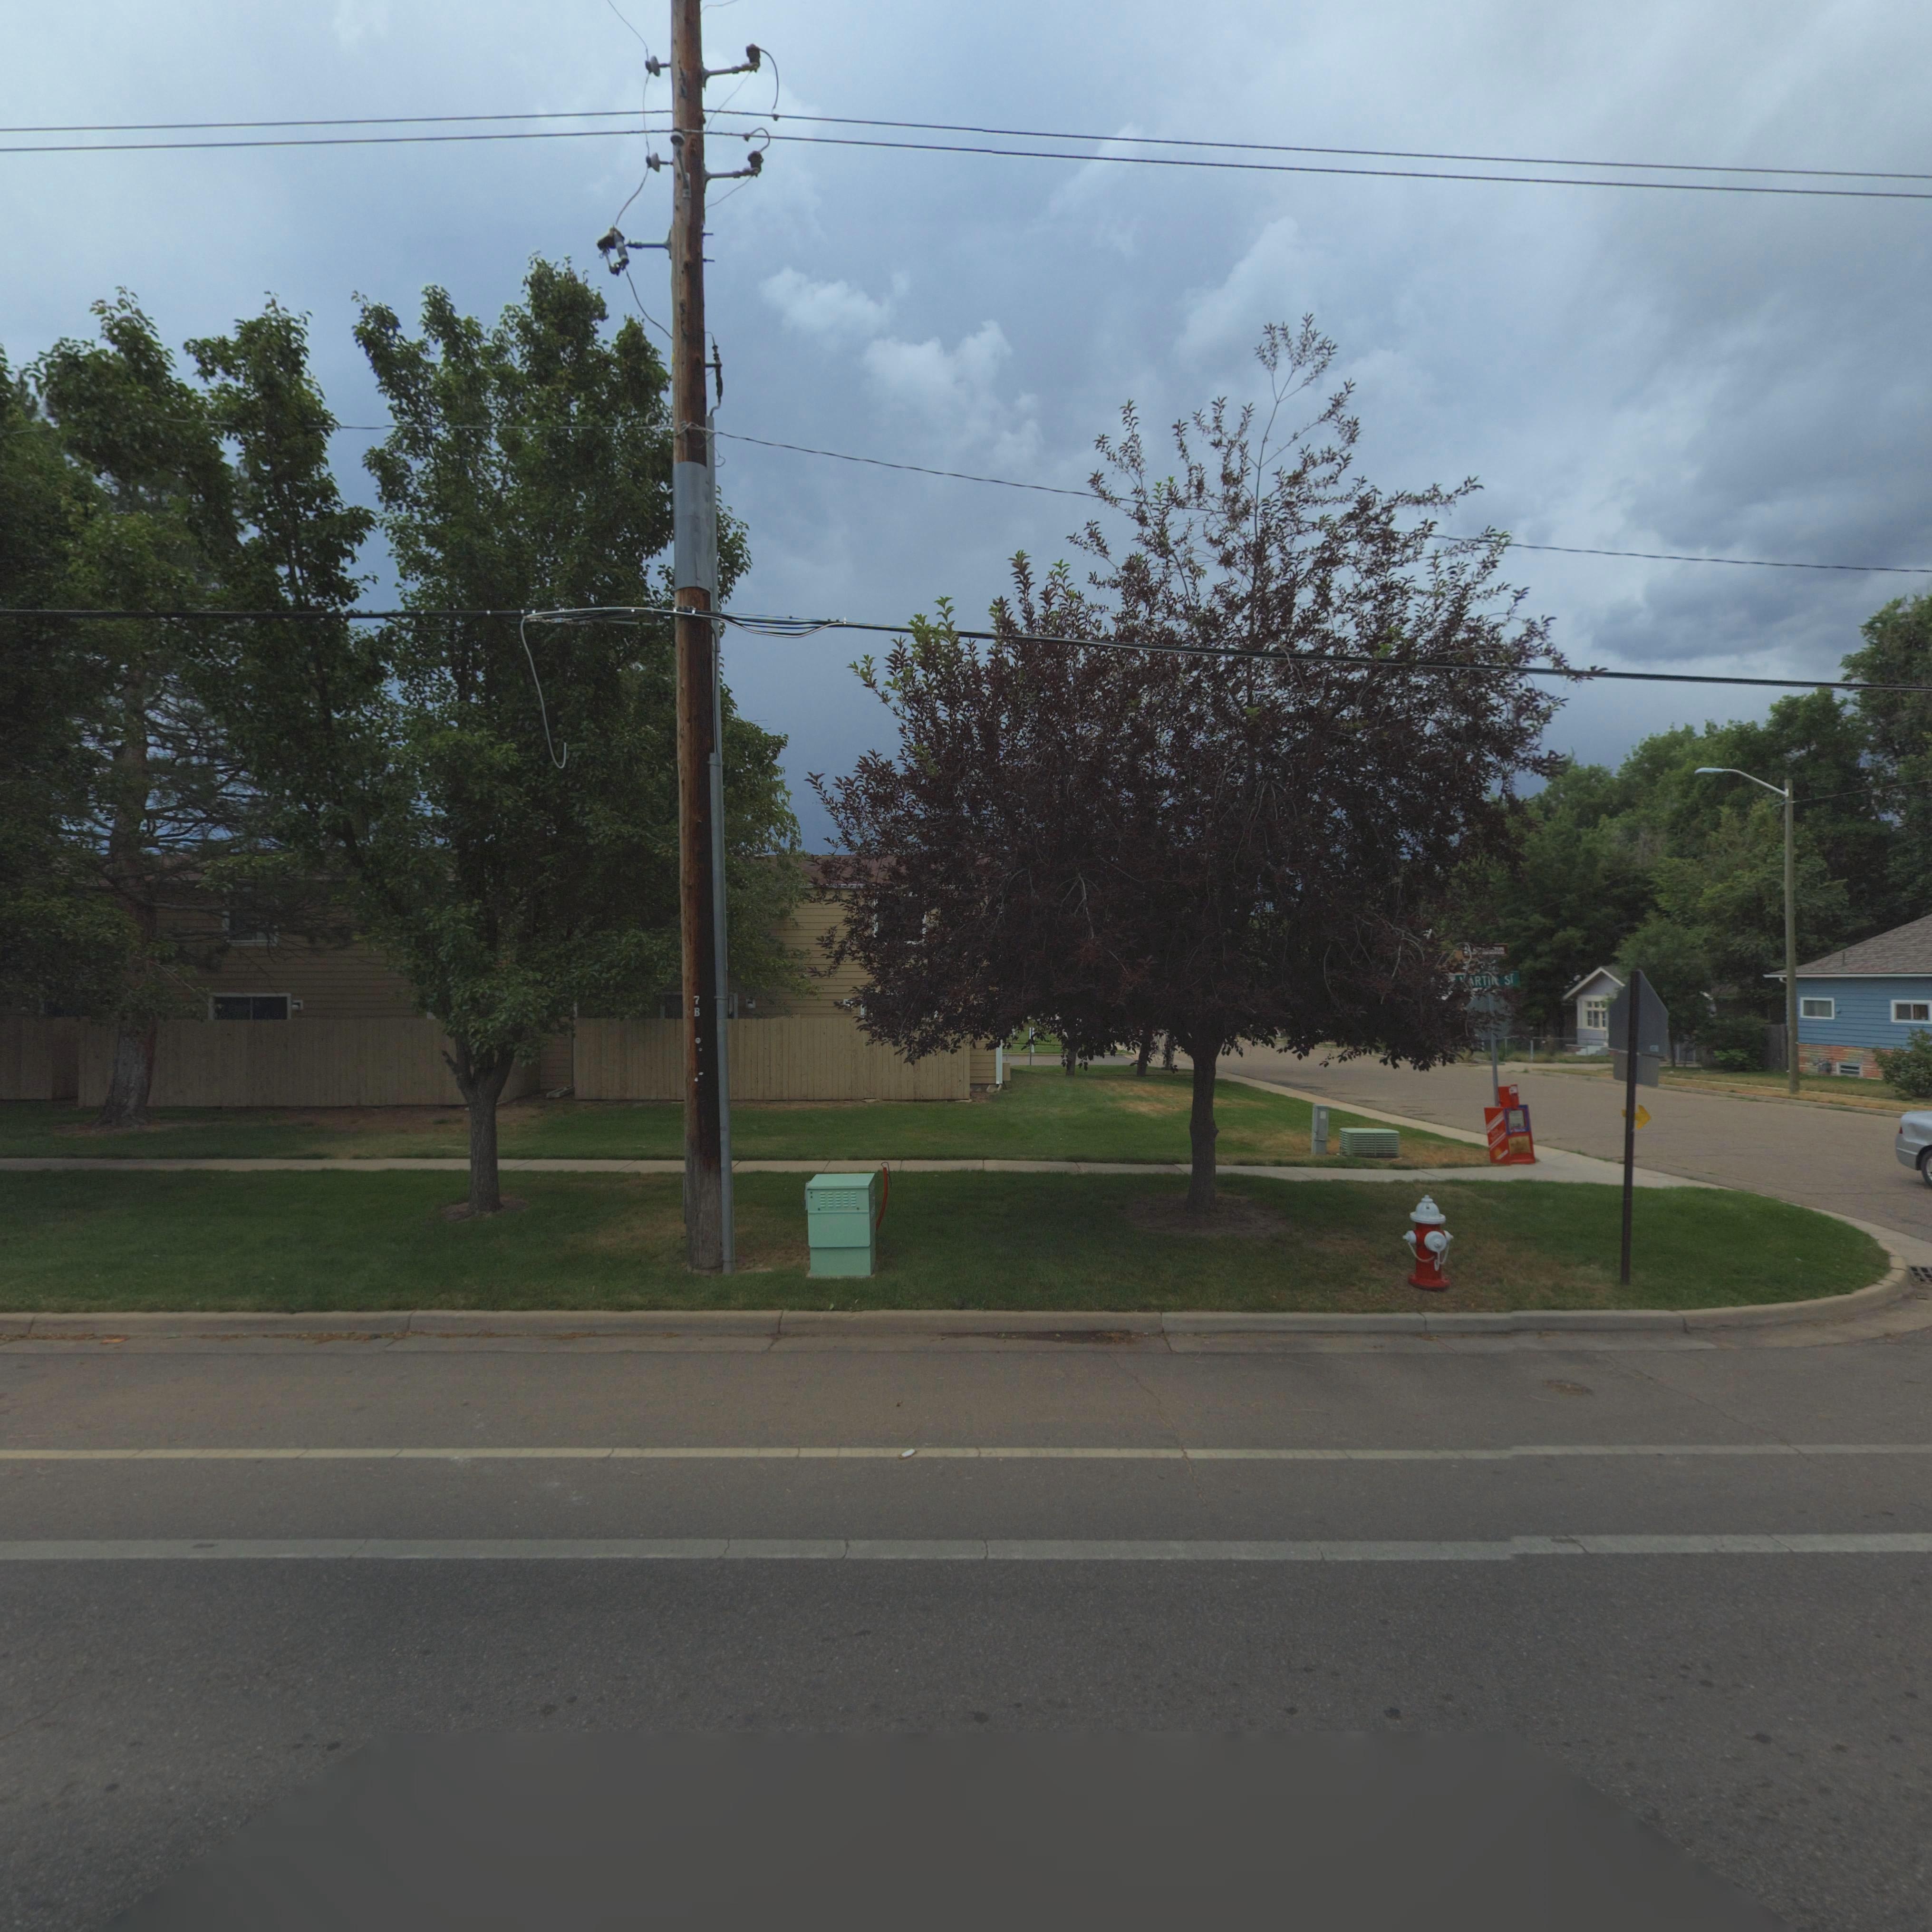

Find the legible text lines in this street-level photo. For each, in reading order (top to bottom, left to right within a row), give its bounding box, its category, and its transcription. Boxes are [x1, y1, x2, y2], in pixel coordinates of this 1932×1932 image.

[1474, 974, 1514, 986] StreetName: RTIN ST